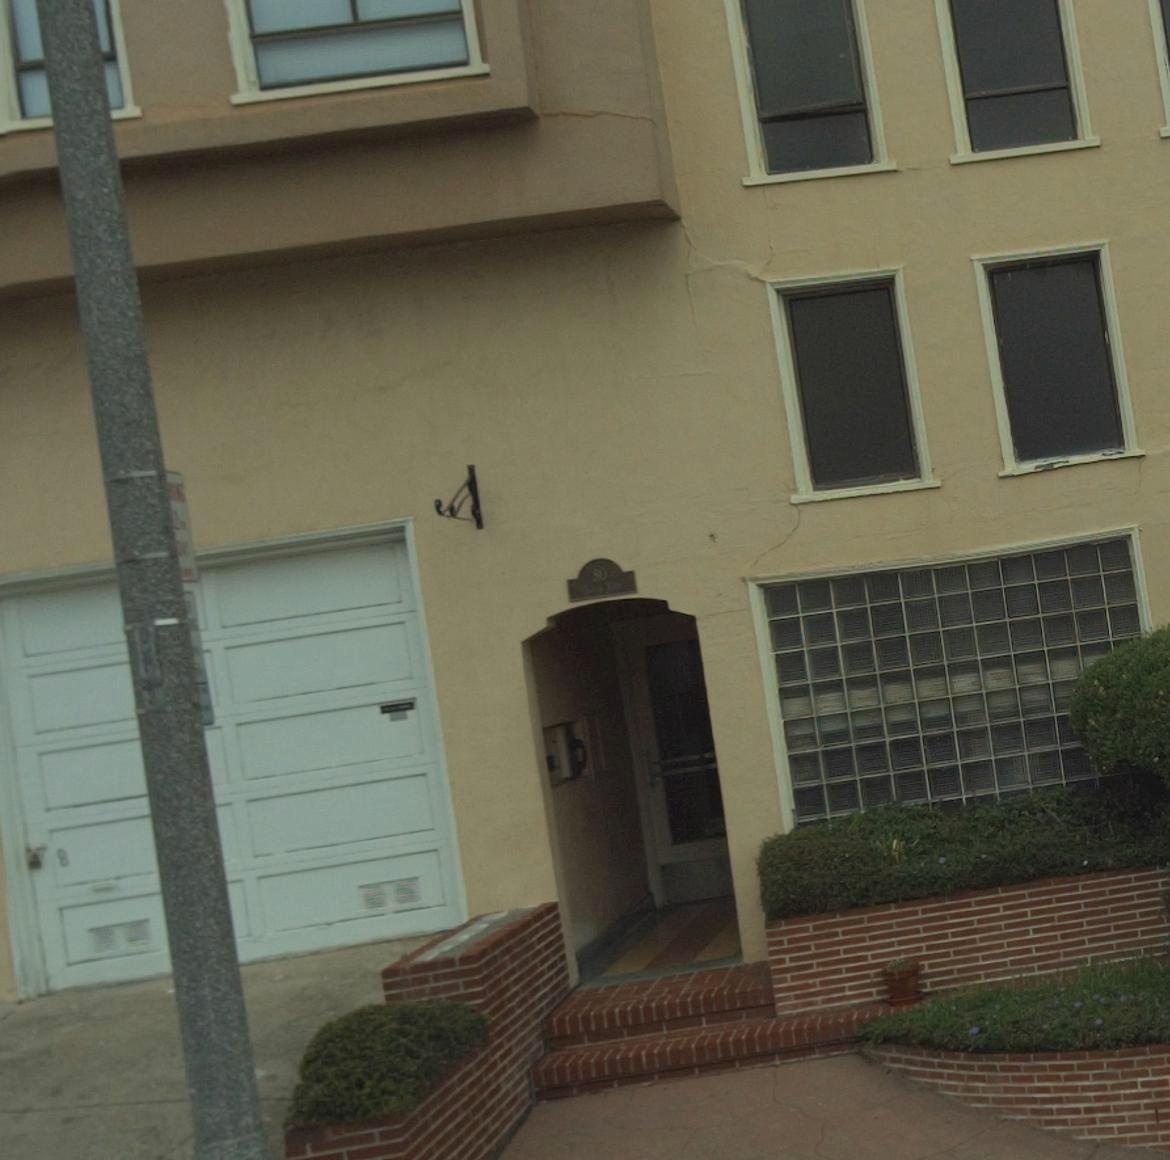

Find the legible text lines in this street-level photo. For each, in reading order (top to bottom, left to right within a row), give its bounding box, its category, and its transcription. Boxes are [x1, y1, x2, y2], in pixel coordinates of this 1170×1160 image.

[591, 565, 609, 584] StreetNumber: 80